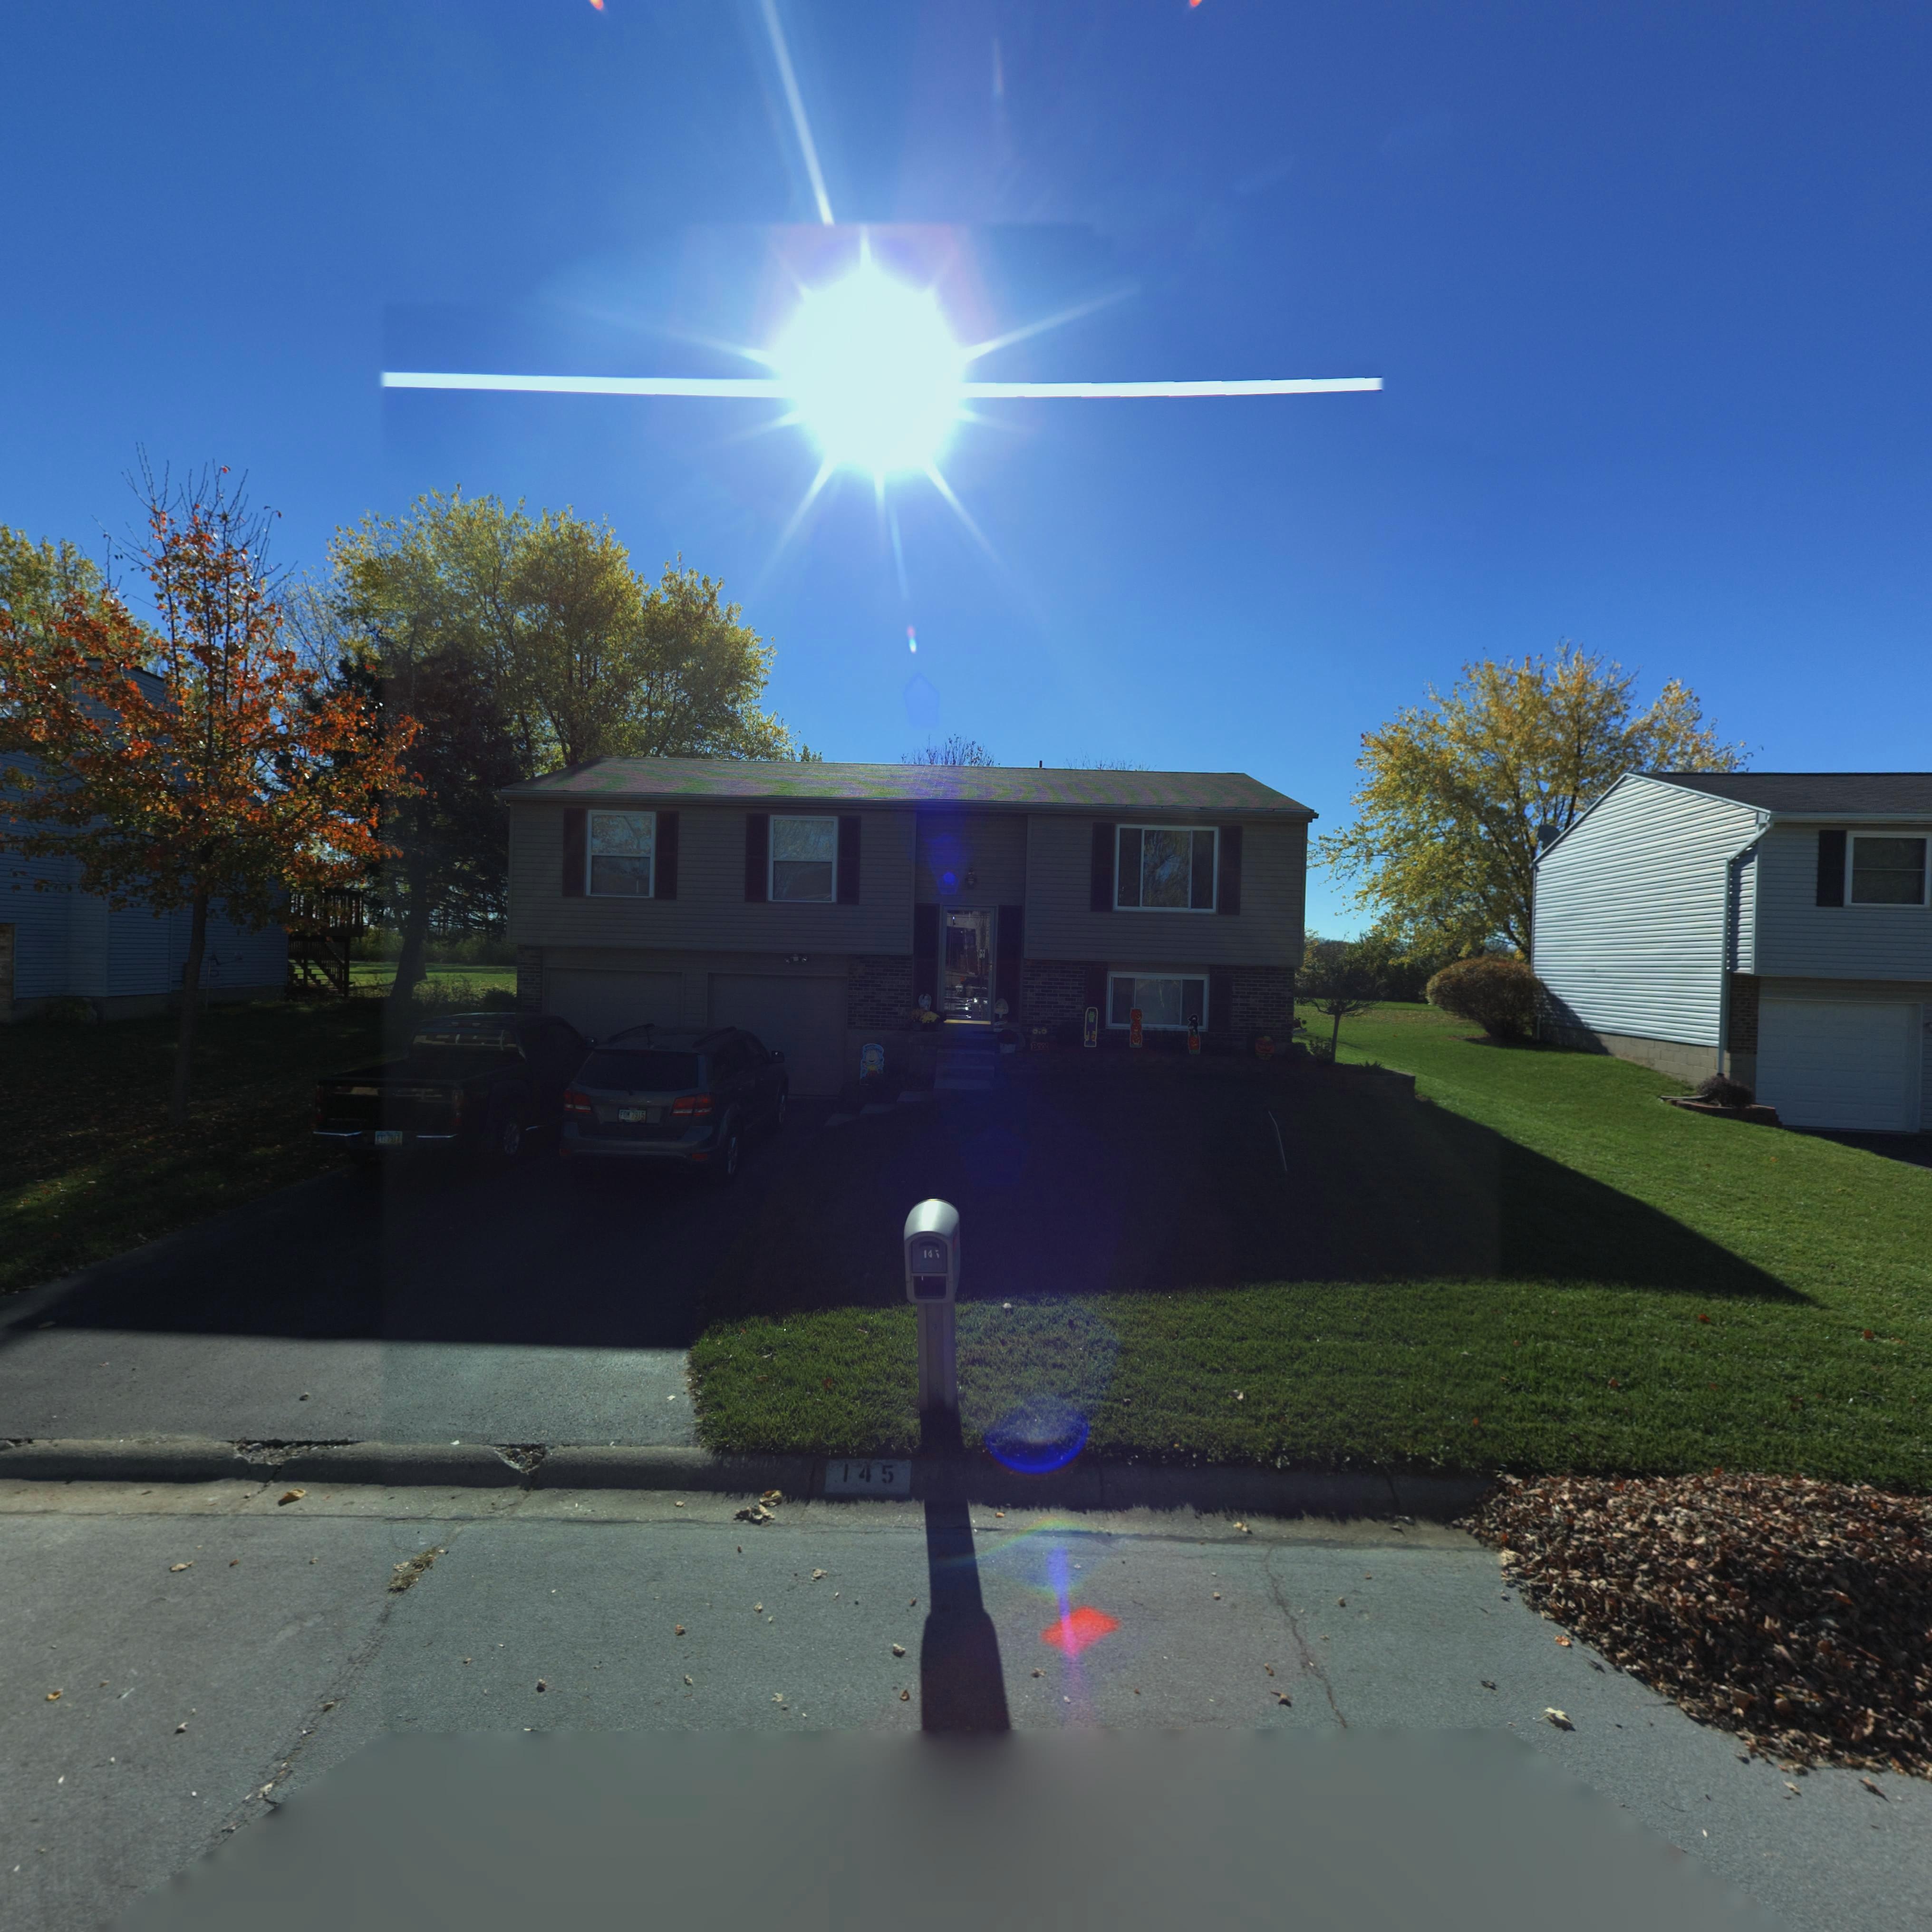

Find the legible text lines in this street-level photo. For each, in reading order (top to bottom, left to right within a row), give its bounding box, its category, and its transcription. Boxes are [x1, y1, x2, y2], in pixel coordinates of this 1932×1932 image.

[923, 1248, 941, 1259] StreetNumber: 14*
[841, 1462, 895, 1485] StreetNumber: 145